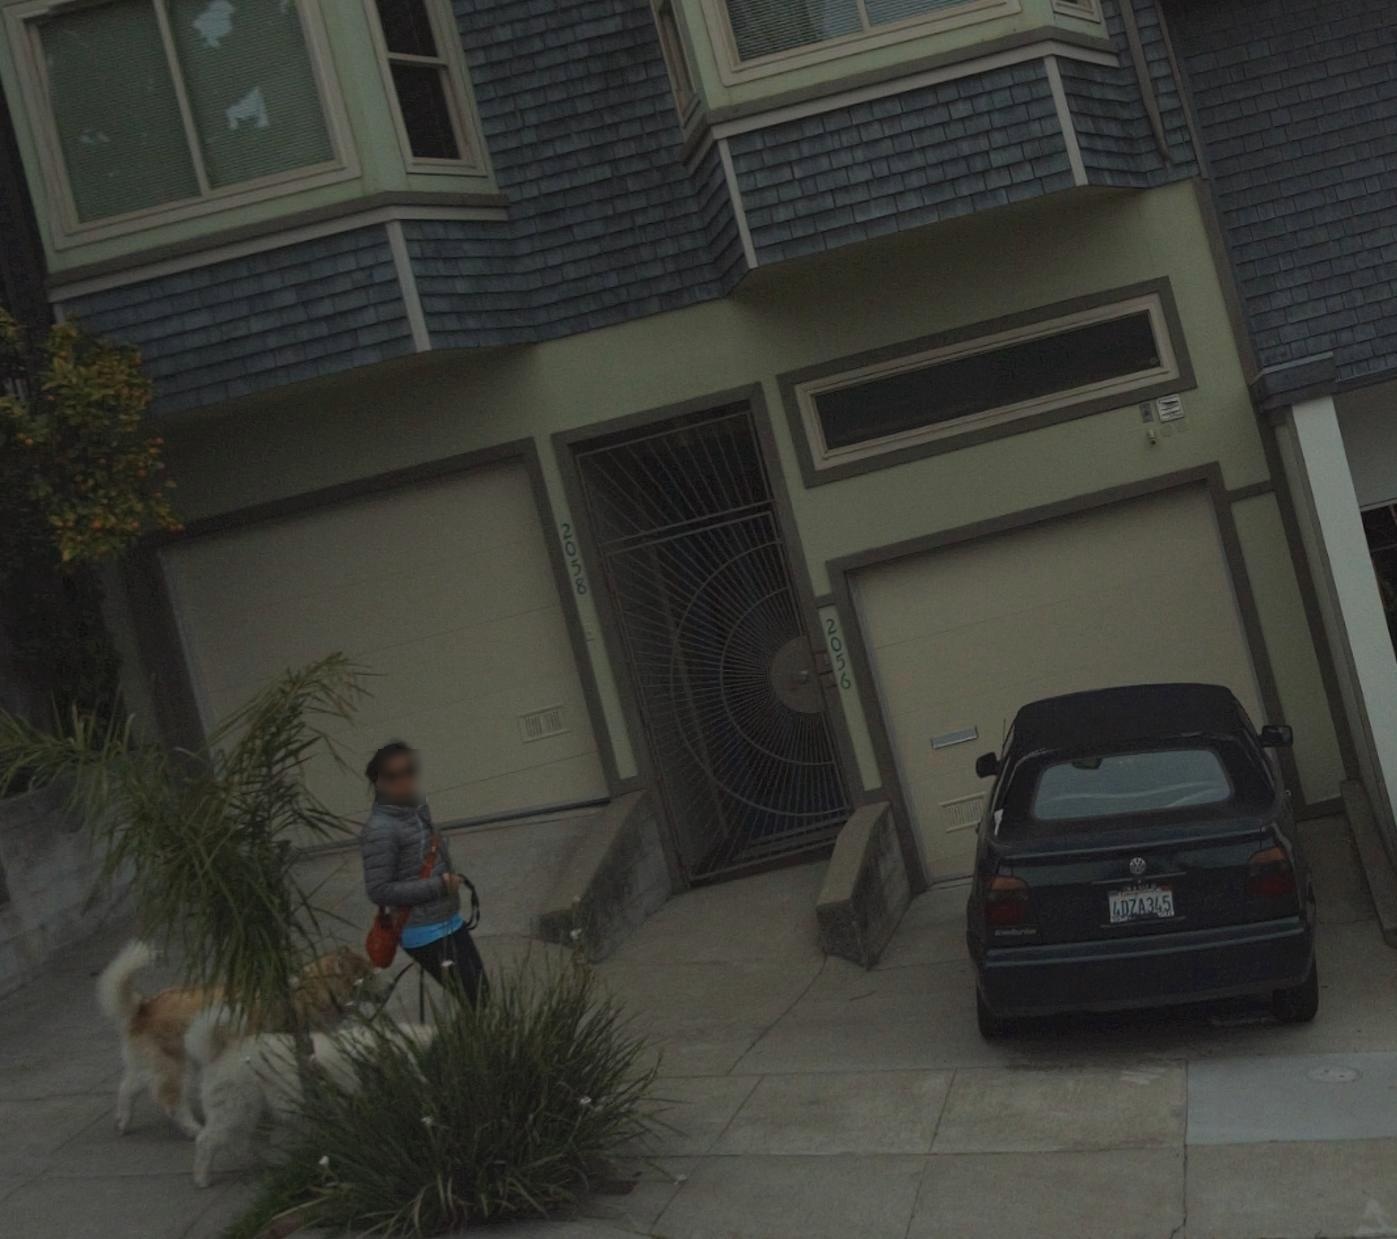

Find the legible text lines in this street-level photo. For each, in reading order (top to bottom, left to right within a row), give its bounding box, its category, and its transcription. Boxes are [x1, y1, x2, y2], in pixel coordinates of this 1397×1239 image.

[558, 521, 590, 597] StreetNumber: 2058
[822, 616, 854, 692] StreetNumber: 2056
[1111, 892, 1174, 920] None: 4DZA345